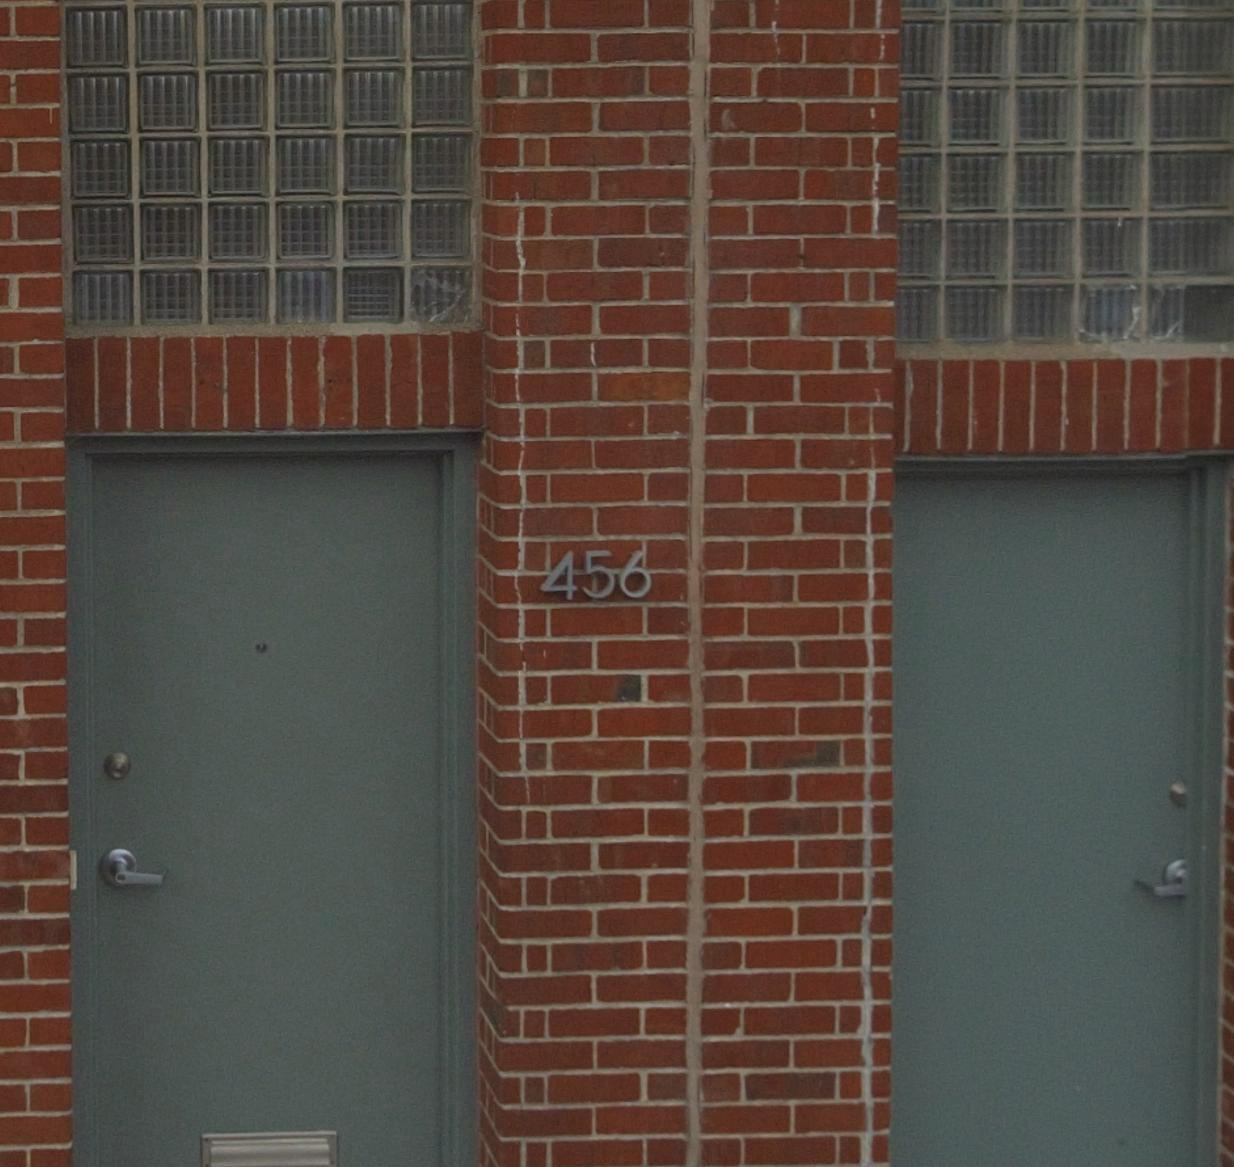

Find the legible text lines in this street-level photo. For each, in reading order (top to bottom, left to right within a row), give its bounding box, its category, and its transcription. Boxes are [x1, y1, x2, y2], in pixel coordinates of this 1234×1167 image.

[535, 548, 655, 602] StreetNumber: 456